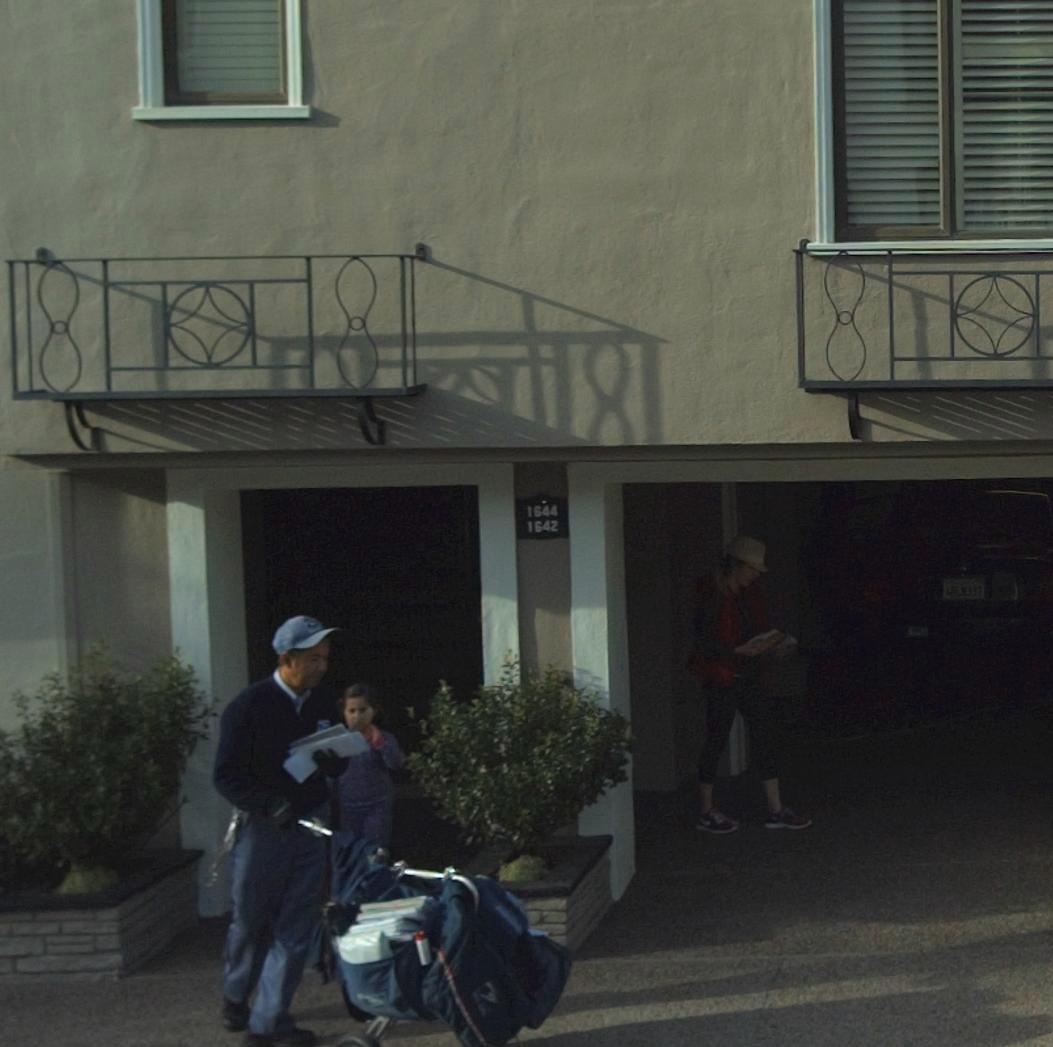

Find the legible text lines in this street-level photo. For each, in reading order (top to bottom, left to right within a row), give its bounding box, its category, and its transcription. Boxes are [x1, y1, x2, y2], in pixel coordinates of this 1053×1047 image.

[526, 503, 560, 519] StreetNumber: 1644
[525, 518, 560, 536] StreetNumber: 1642